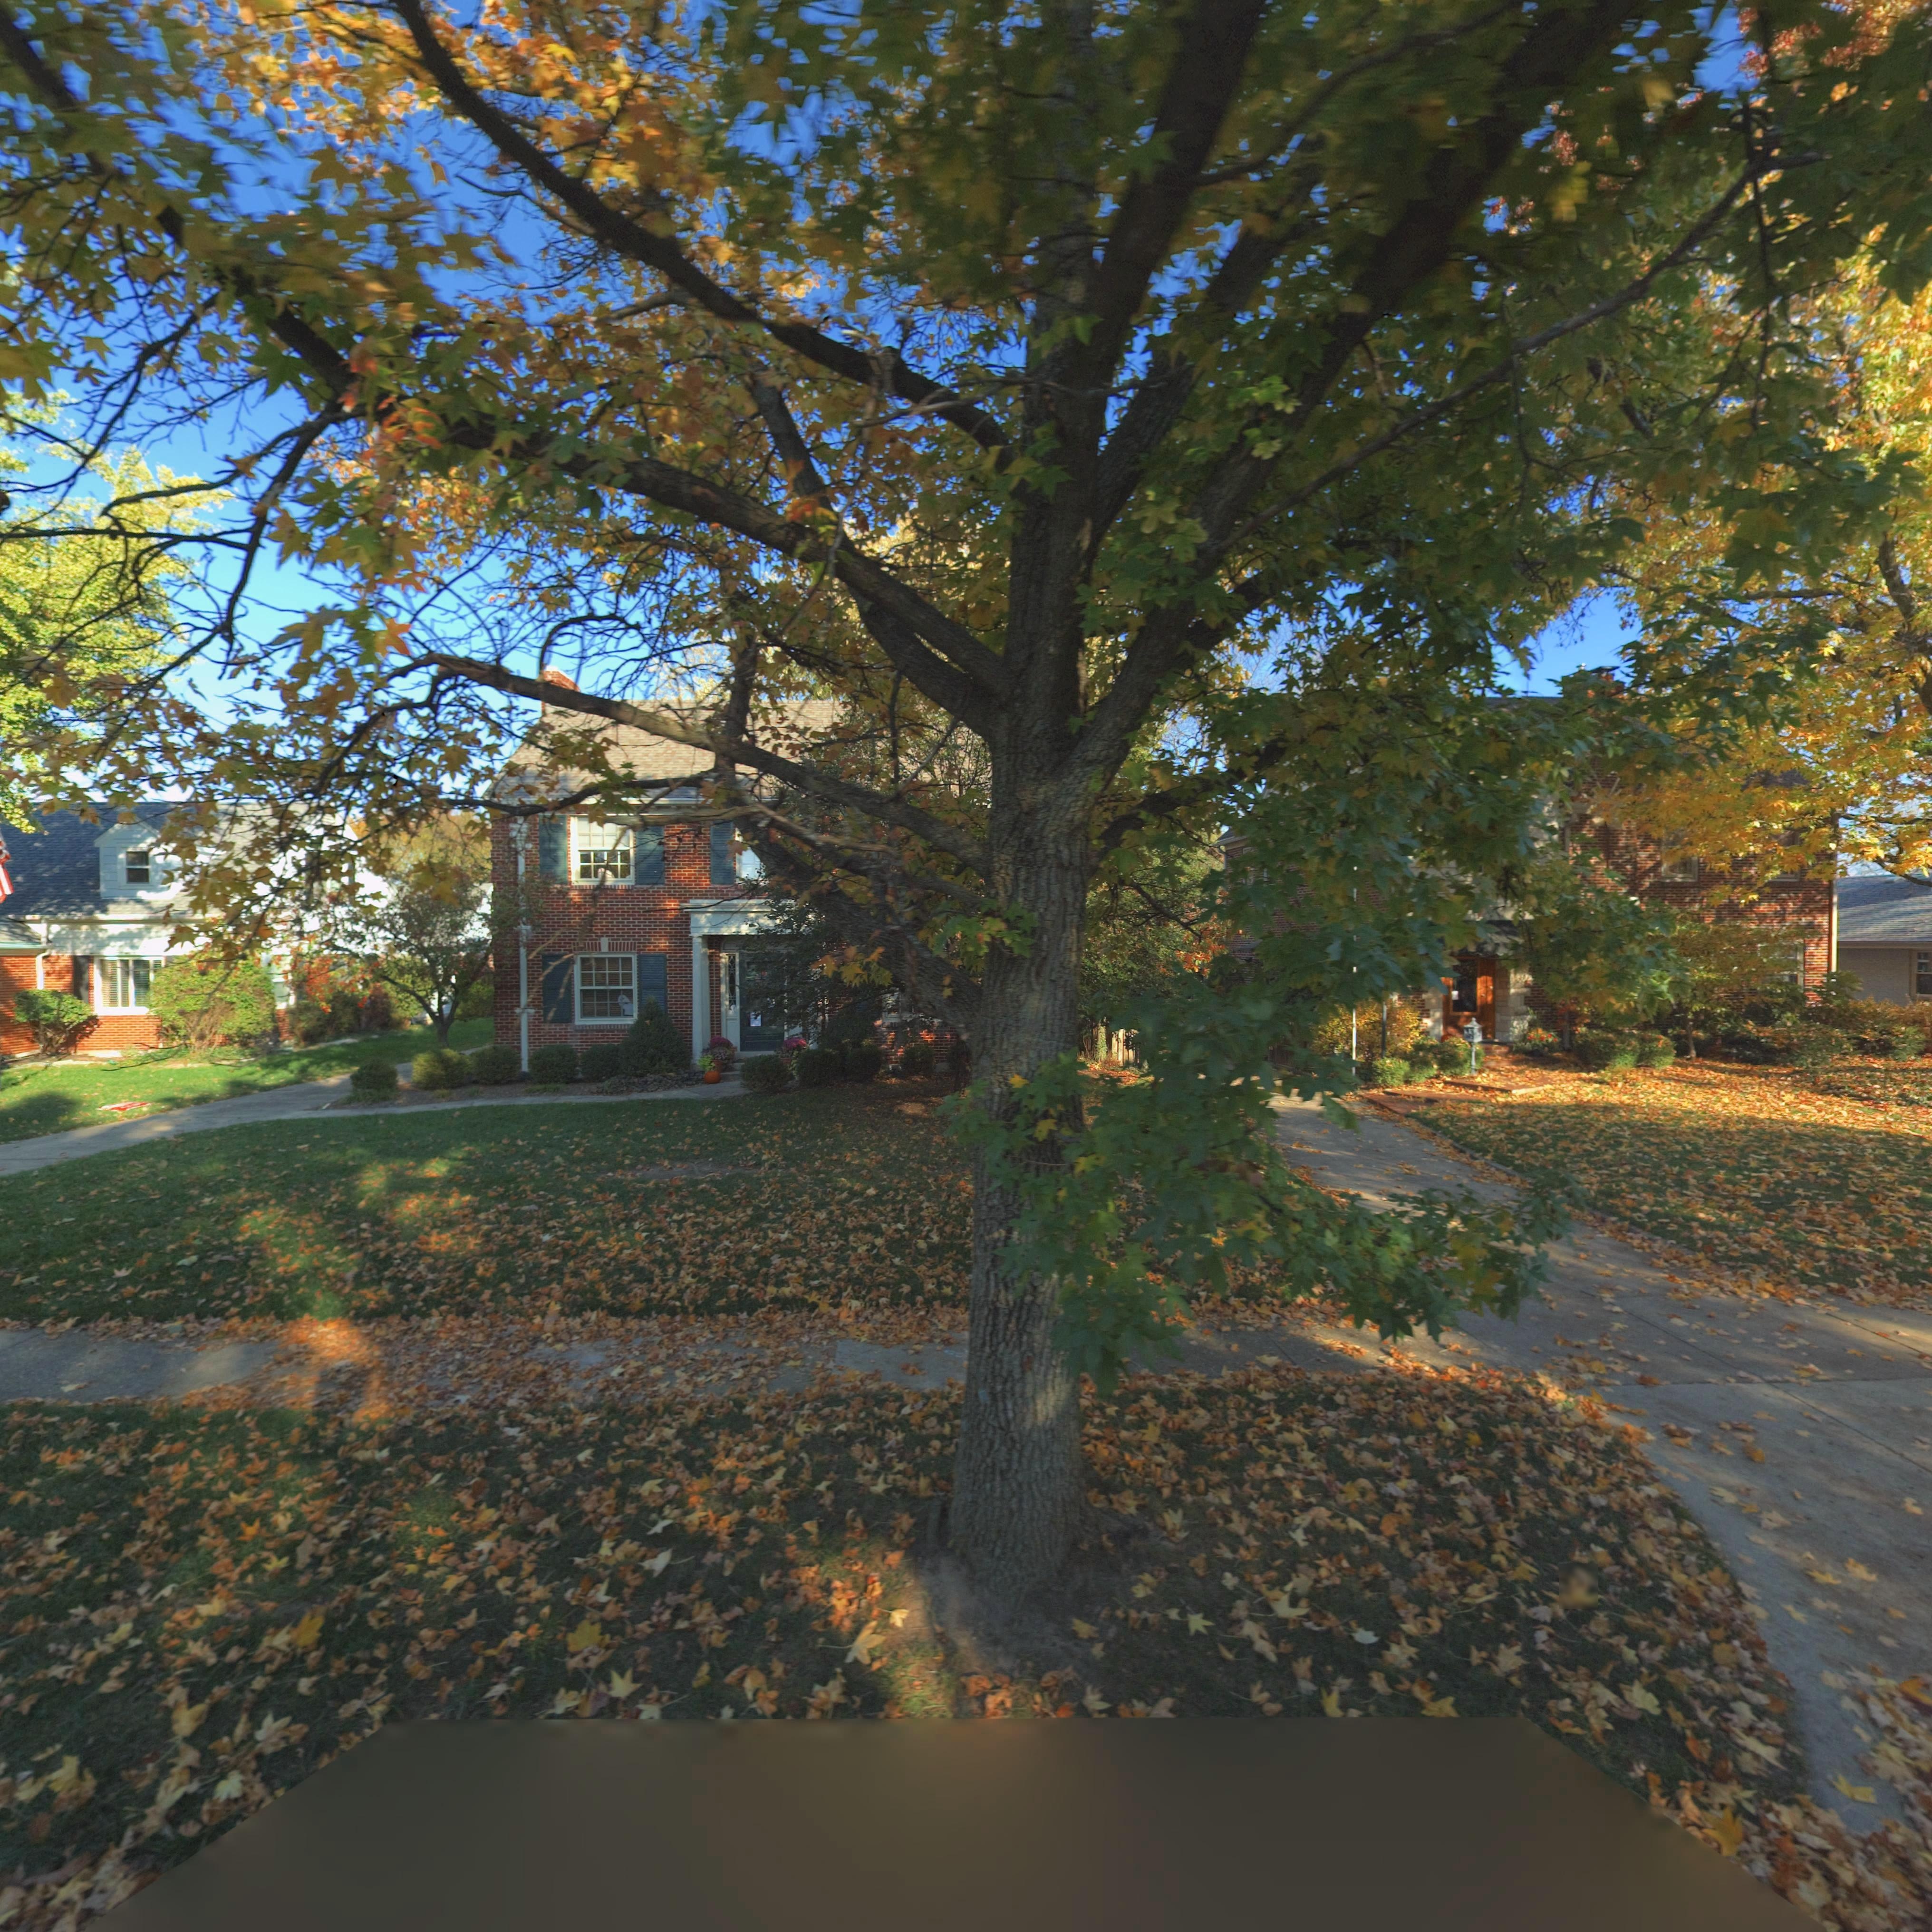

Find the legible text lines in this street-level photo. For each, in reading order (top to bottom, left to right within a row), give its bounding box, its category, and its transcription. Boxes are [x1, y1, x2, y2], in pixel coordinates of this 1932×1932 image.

[743, 915, 760, 924] StreetNumber: 546